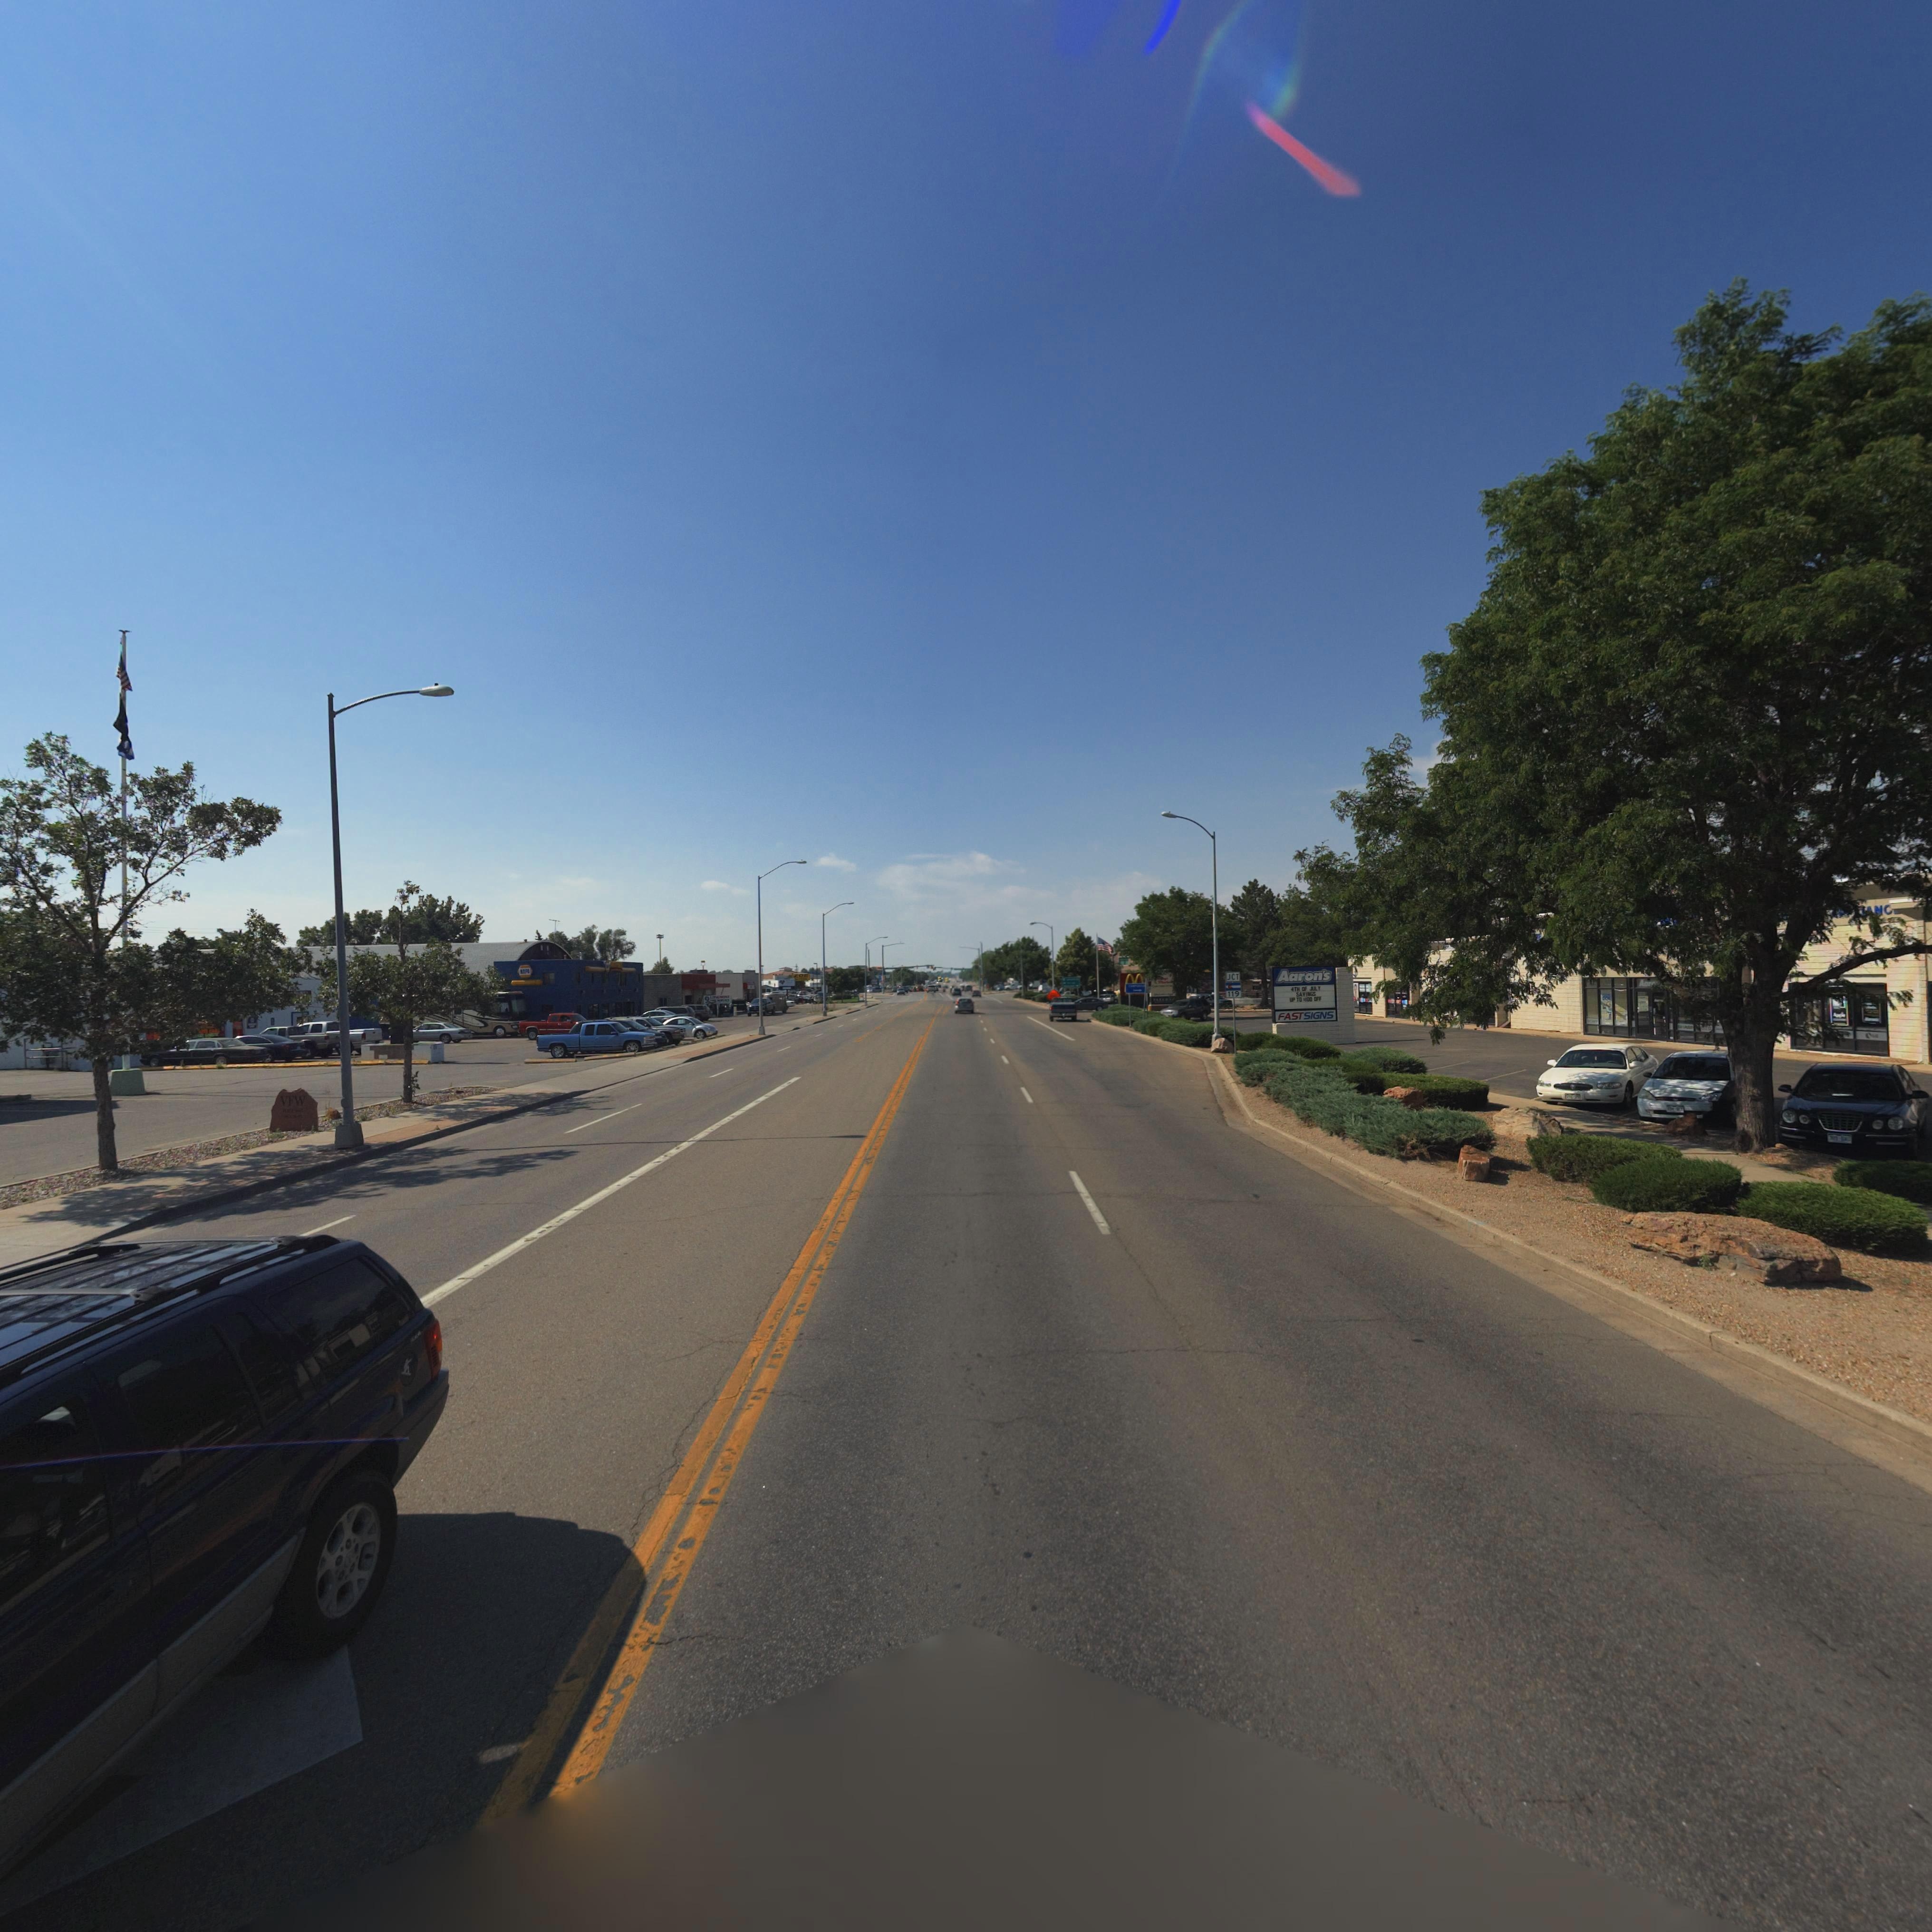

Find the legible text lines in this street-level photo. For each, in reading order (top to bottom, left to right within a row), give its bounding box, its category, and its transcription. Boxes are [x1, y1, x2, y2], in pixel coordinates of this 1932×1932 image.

[520, 968, 530, 974] BusinessName: NAPA
[793, 974, 808, 977] BusinessName: ZOE
[1275, 968, 1333, 984] BusinessName: Aaron's
[1163, 977, 1168, 981] BusinessName: y's
[1158, 980, 1173, 984] BusinessName: Market
[1638, 979, 1652, 986] BusinessName: Aar
[710, 995, 730, 999] BusinessName: LONGMONT
[709, 998, 730, 1002] BusinessName: TIRE SERVICE
[1278, 1011, 1333, 1020] BusinessName: FAST SIGNS
[280, 1095, 306, 1106] BusinessName: VFW
[282, 1108, 304, 1113] BusinessName: POST ***